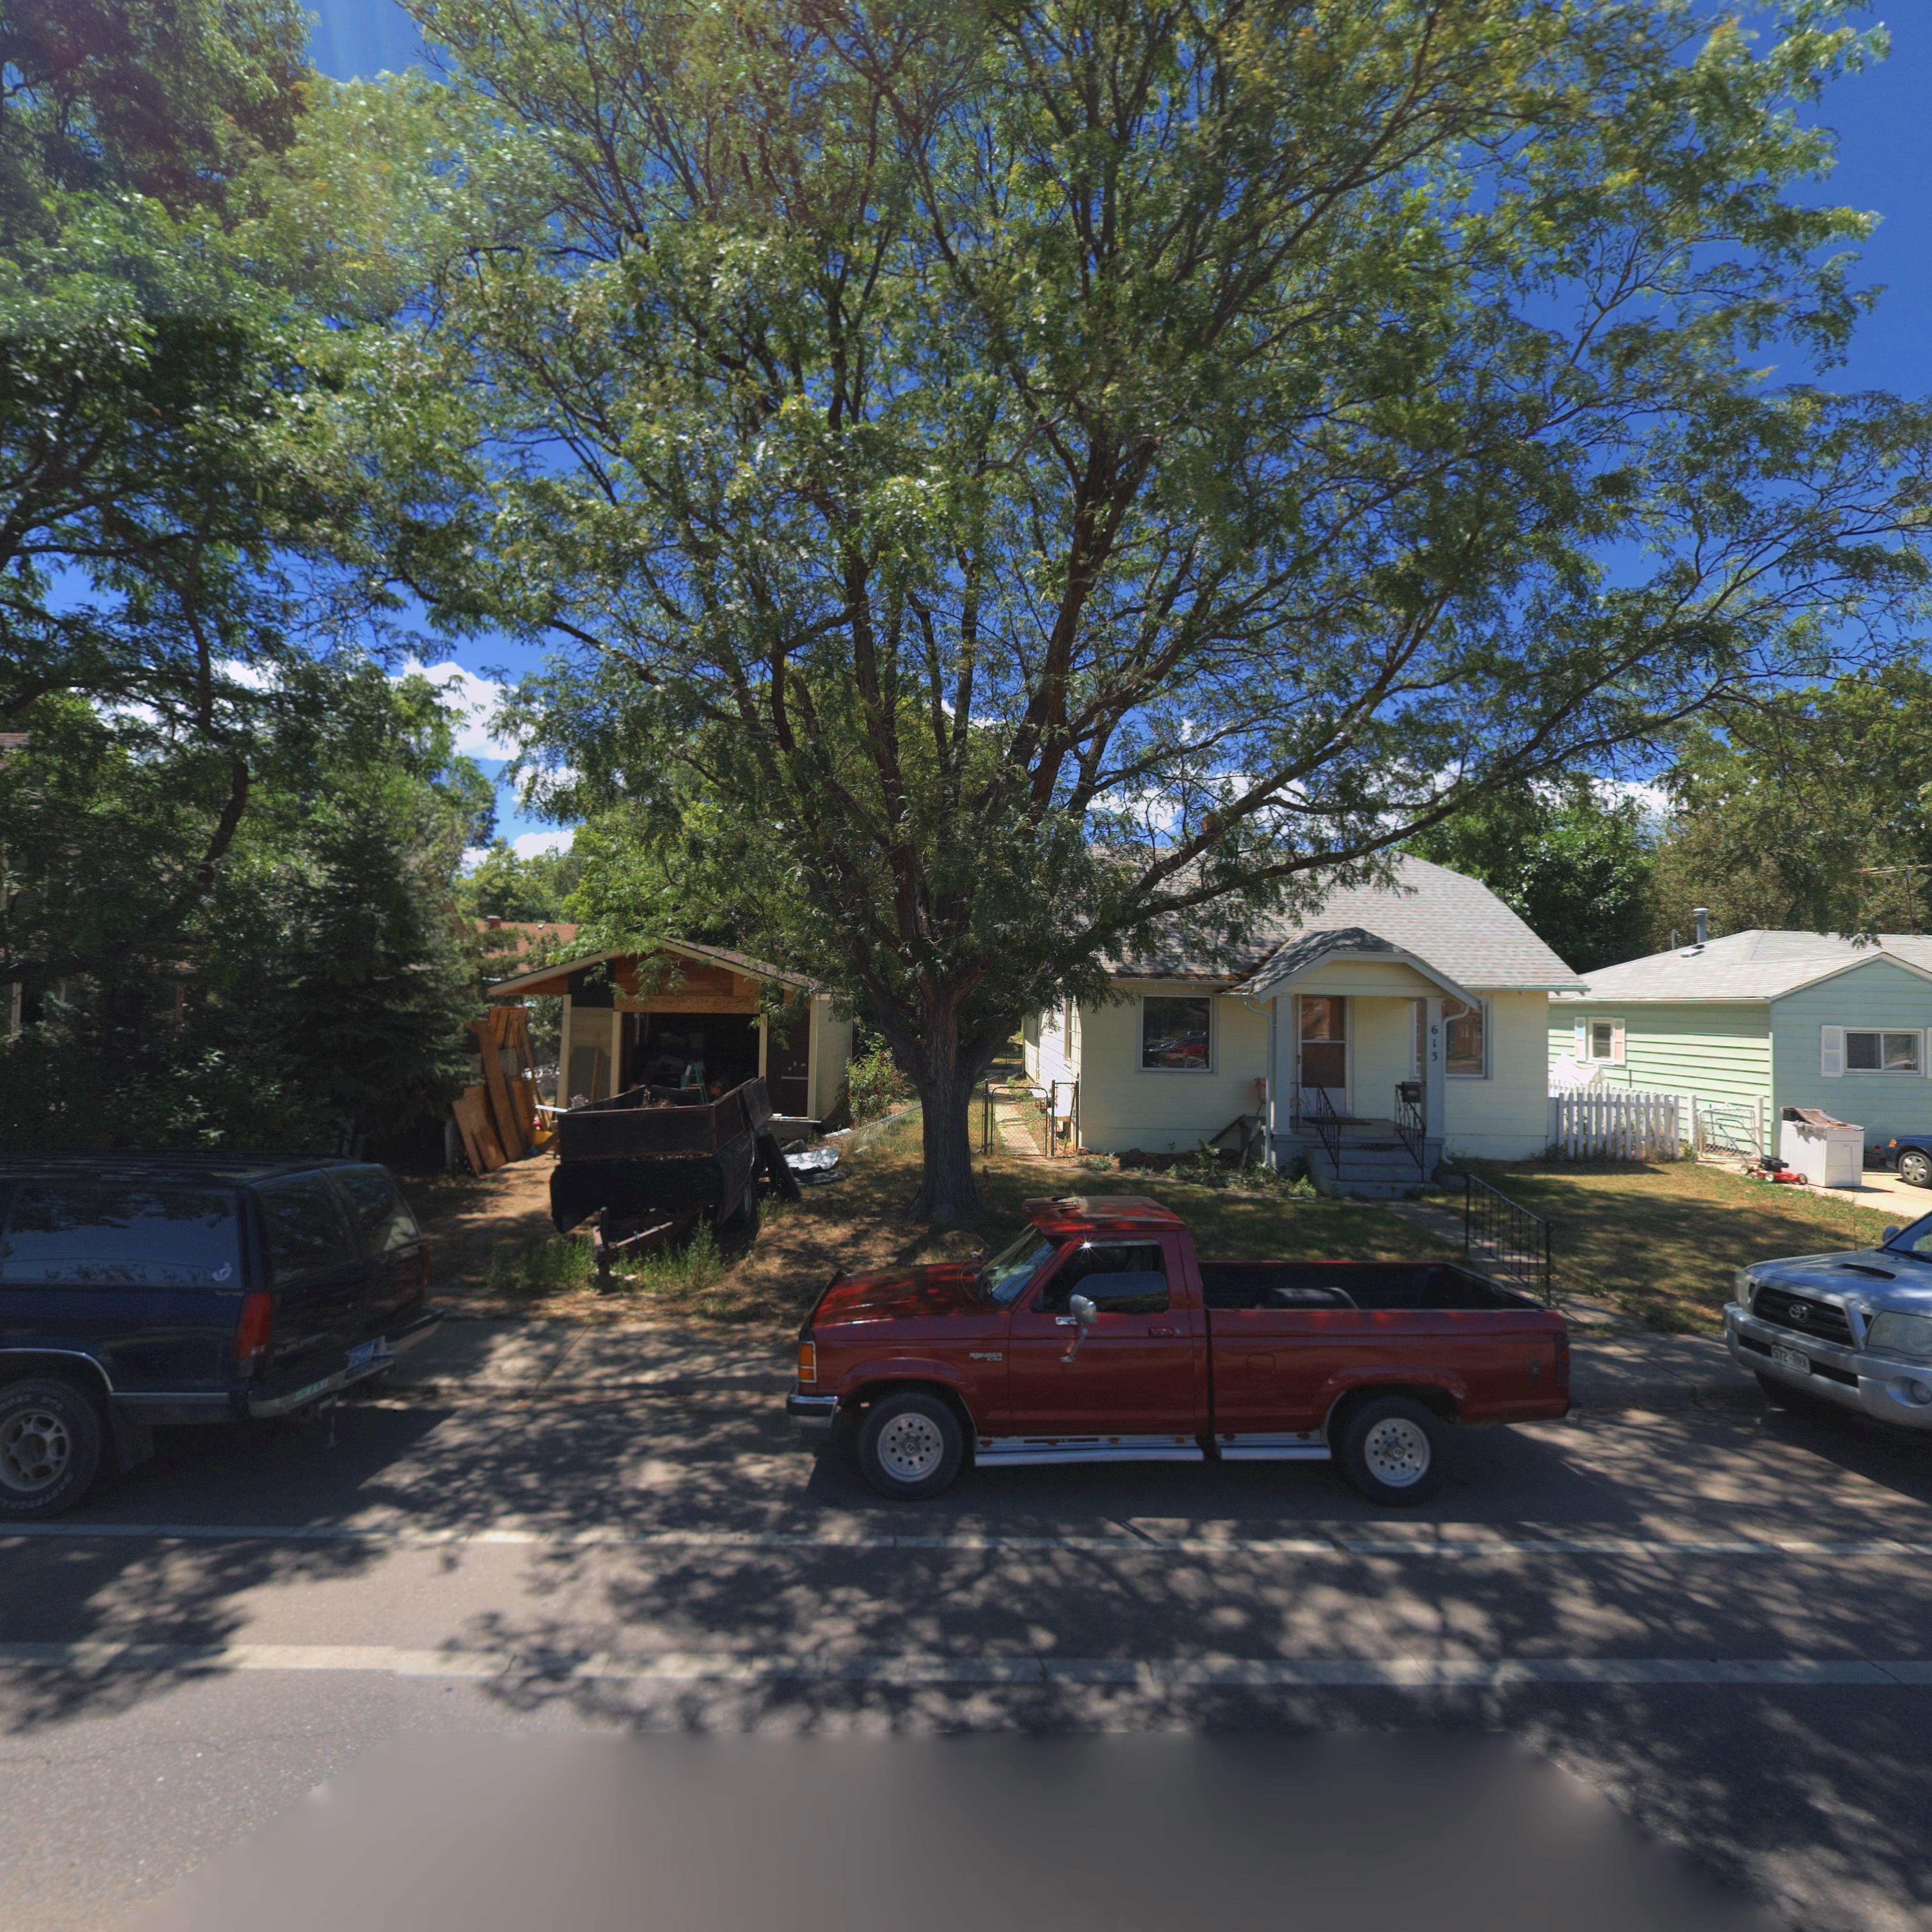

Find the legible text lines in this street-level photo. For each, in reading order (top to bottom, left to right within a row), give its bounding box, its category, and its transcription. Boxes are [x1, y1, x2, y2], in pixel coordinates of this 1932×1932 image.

[1430, 1024, 1438, 1062] StreetNumber: 613